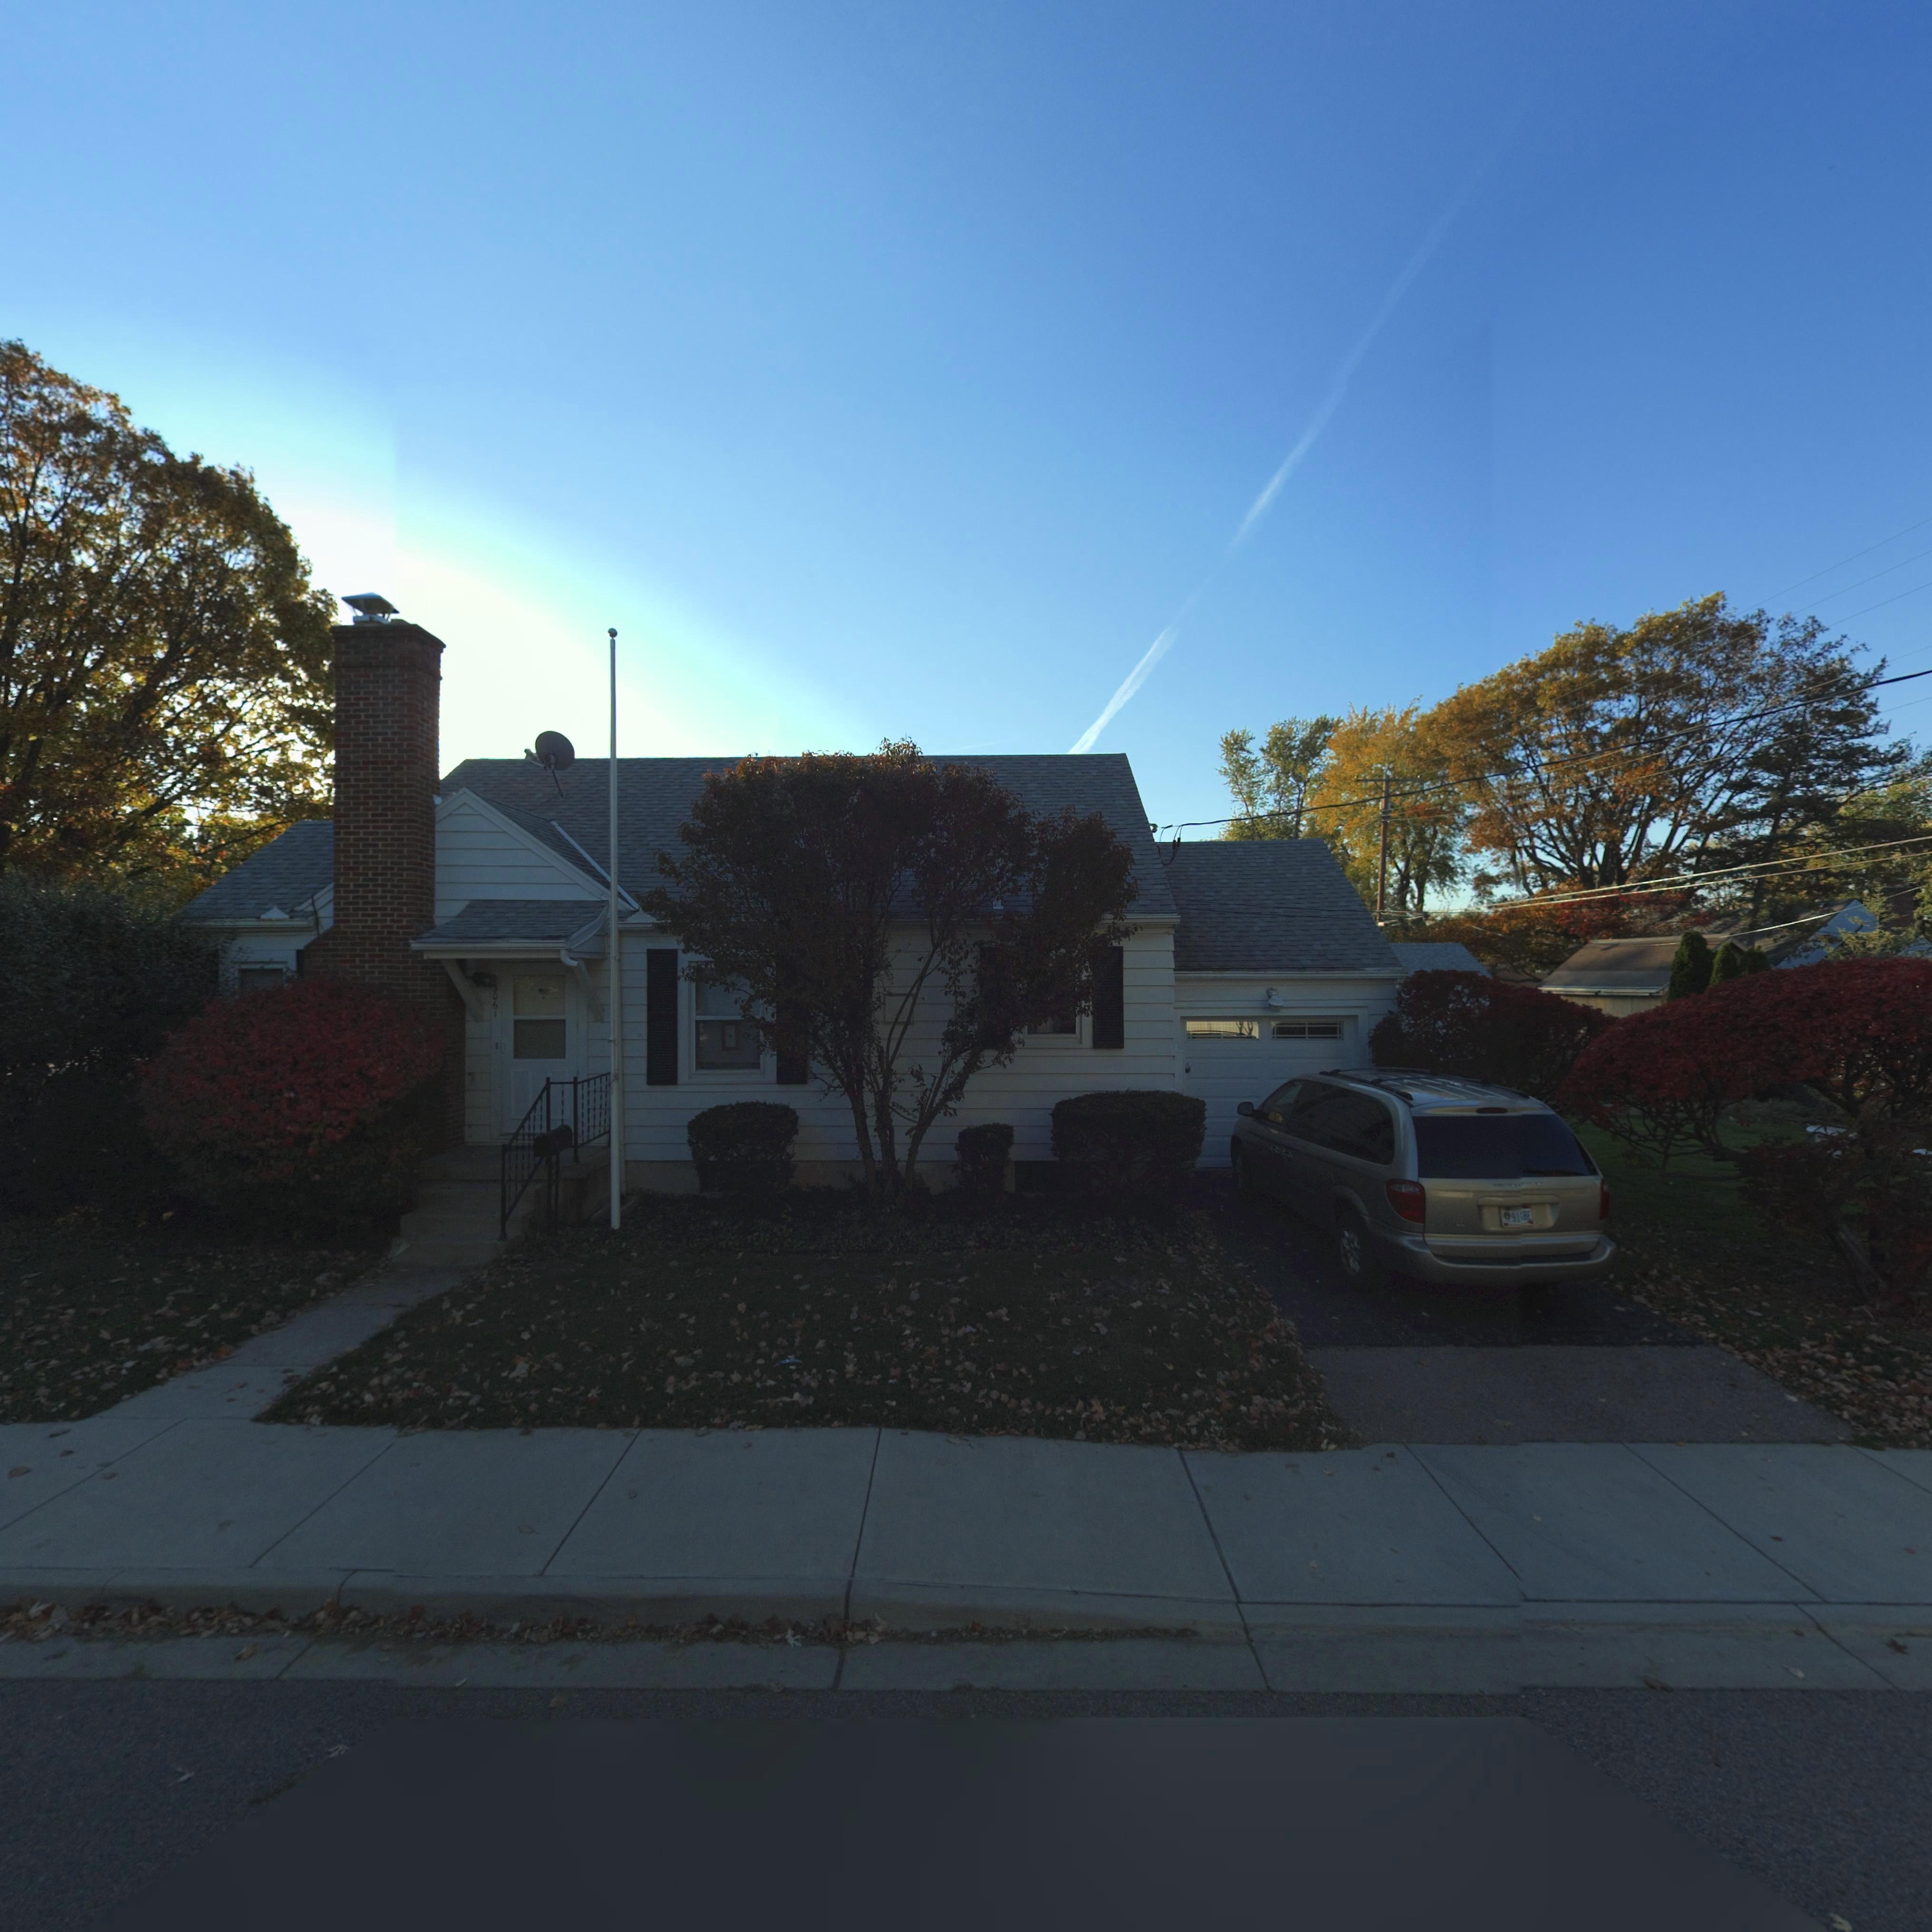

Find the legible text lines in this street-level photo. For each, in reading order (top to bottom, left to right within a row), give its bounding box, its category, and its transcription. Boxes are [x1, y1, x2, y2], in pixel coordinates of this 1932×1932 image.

[492, 984, 498, 1018] StreetNumber: 3061